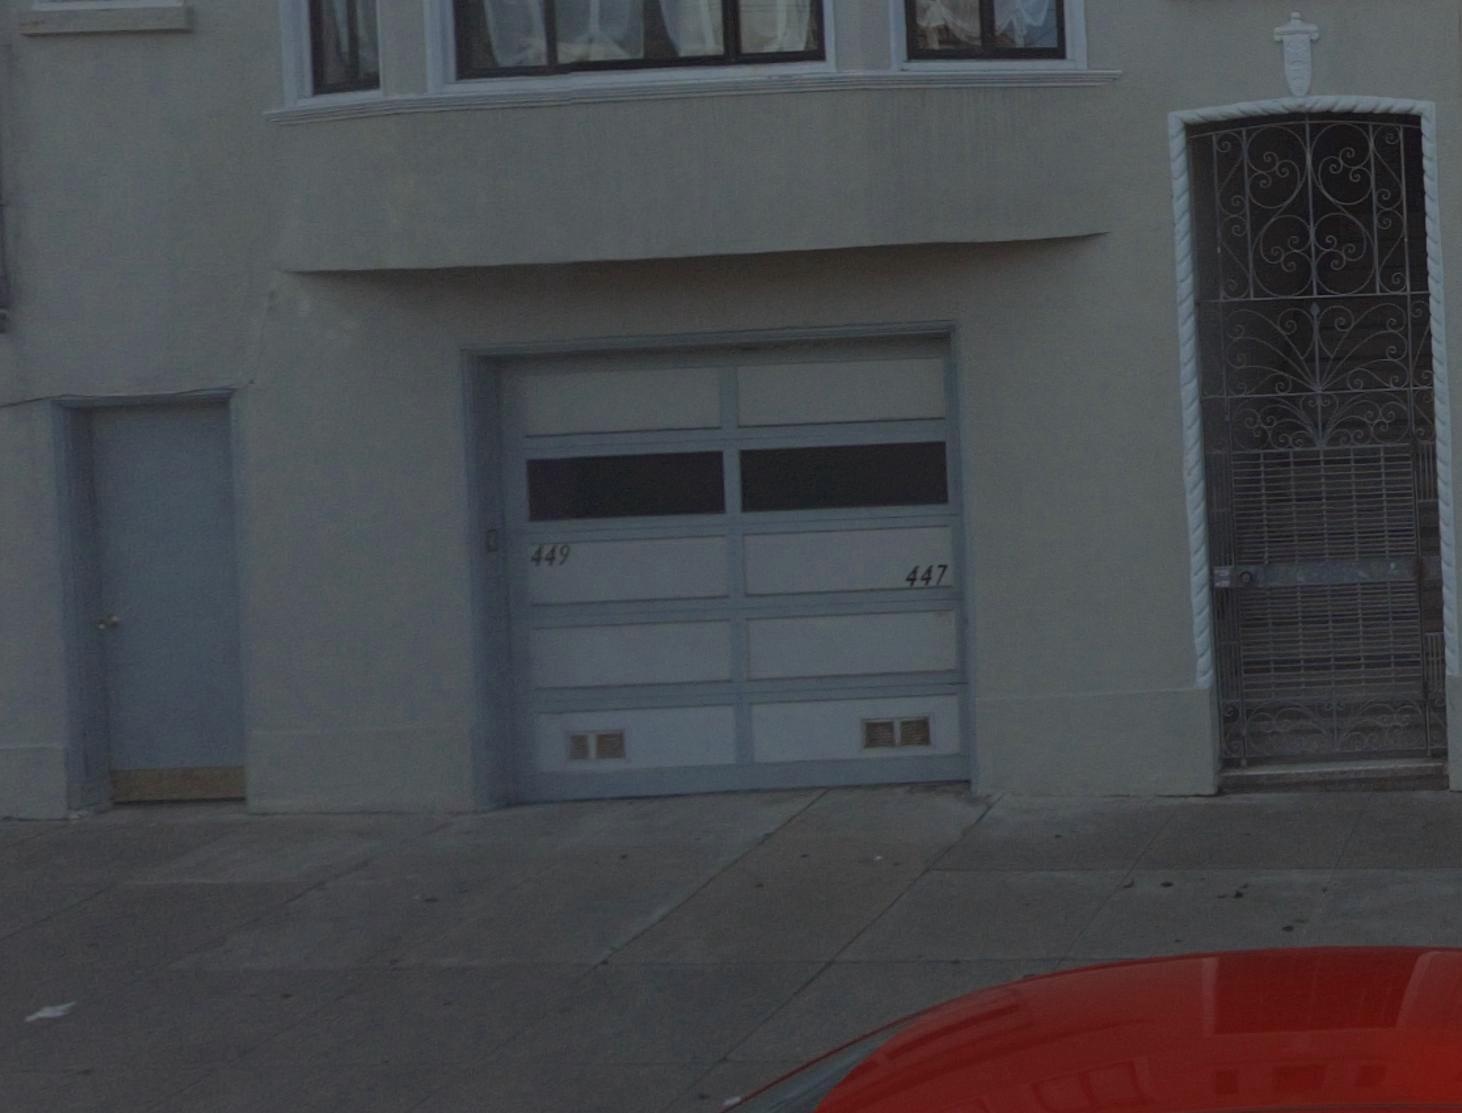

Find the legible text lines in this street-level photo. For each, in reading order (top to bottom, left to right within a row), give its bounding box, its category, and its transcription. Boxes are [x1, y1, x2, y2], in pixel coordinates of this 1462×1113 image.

[528, 542, 572, 568] StreetNumber: 449
[903, 563, 950, 588] StreetNumber: 447